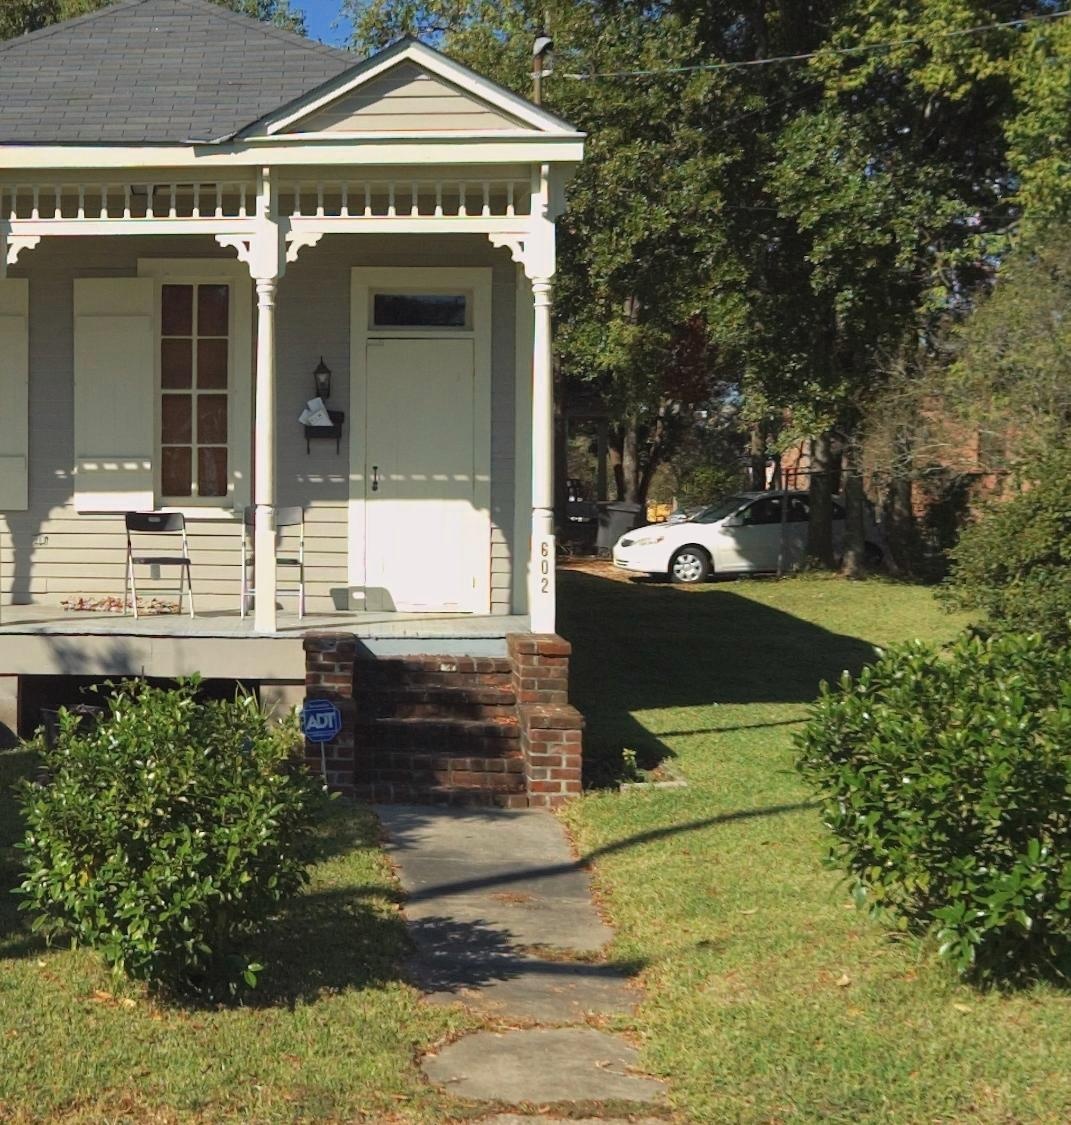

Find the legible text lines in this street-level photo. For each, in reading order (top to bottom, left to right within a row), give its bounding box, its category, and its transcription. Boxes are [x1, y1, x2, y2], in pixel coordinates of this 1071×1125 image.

[539, 539, 550, 596] StreetNumber: 602
[302, 709, 338, 734] None: ADT